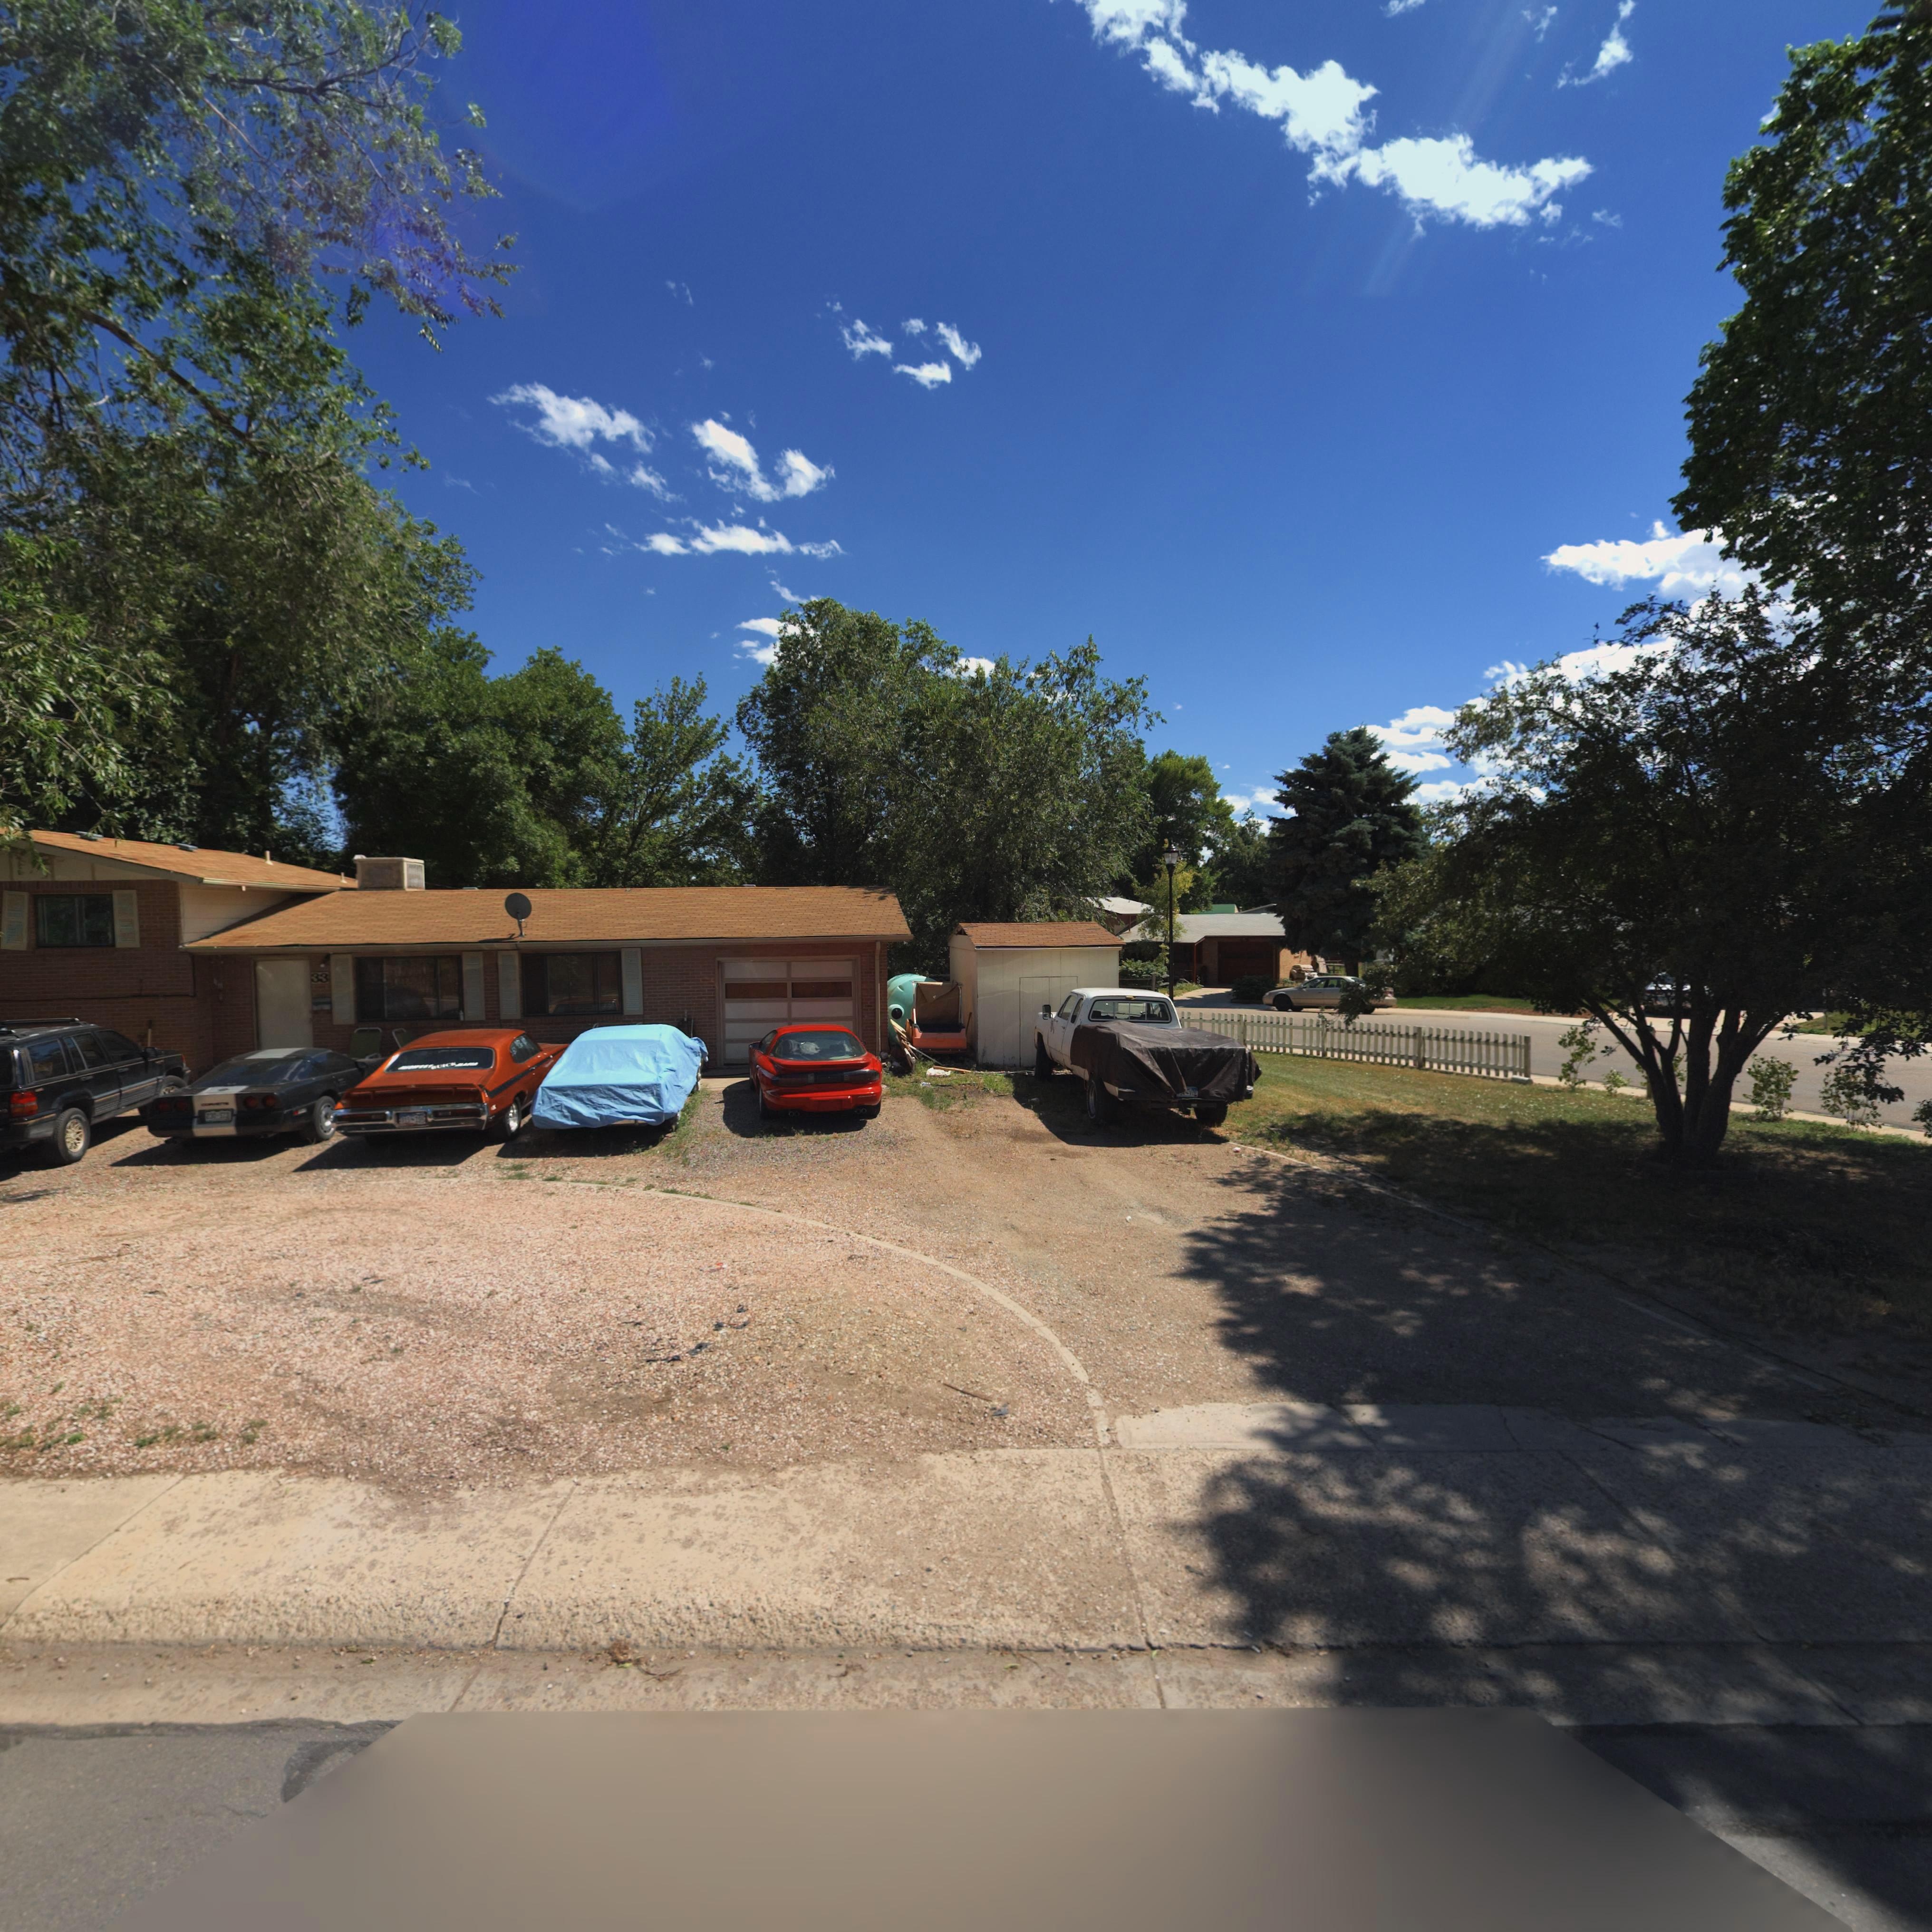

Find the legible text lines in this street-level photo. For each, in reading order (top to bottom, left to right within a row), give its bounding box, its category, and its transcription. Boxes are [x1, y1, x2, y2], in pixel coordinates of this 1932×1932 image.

[310, 972, 329, 983] StreetNumber: 33